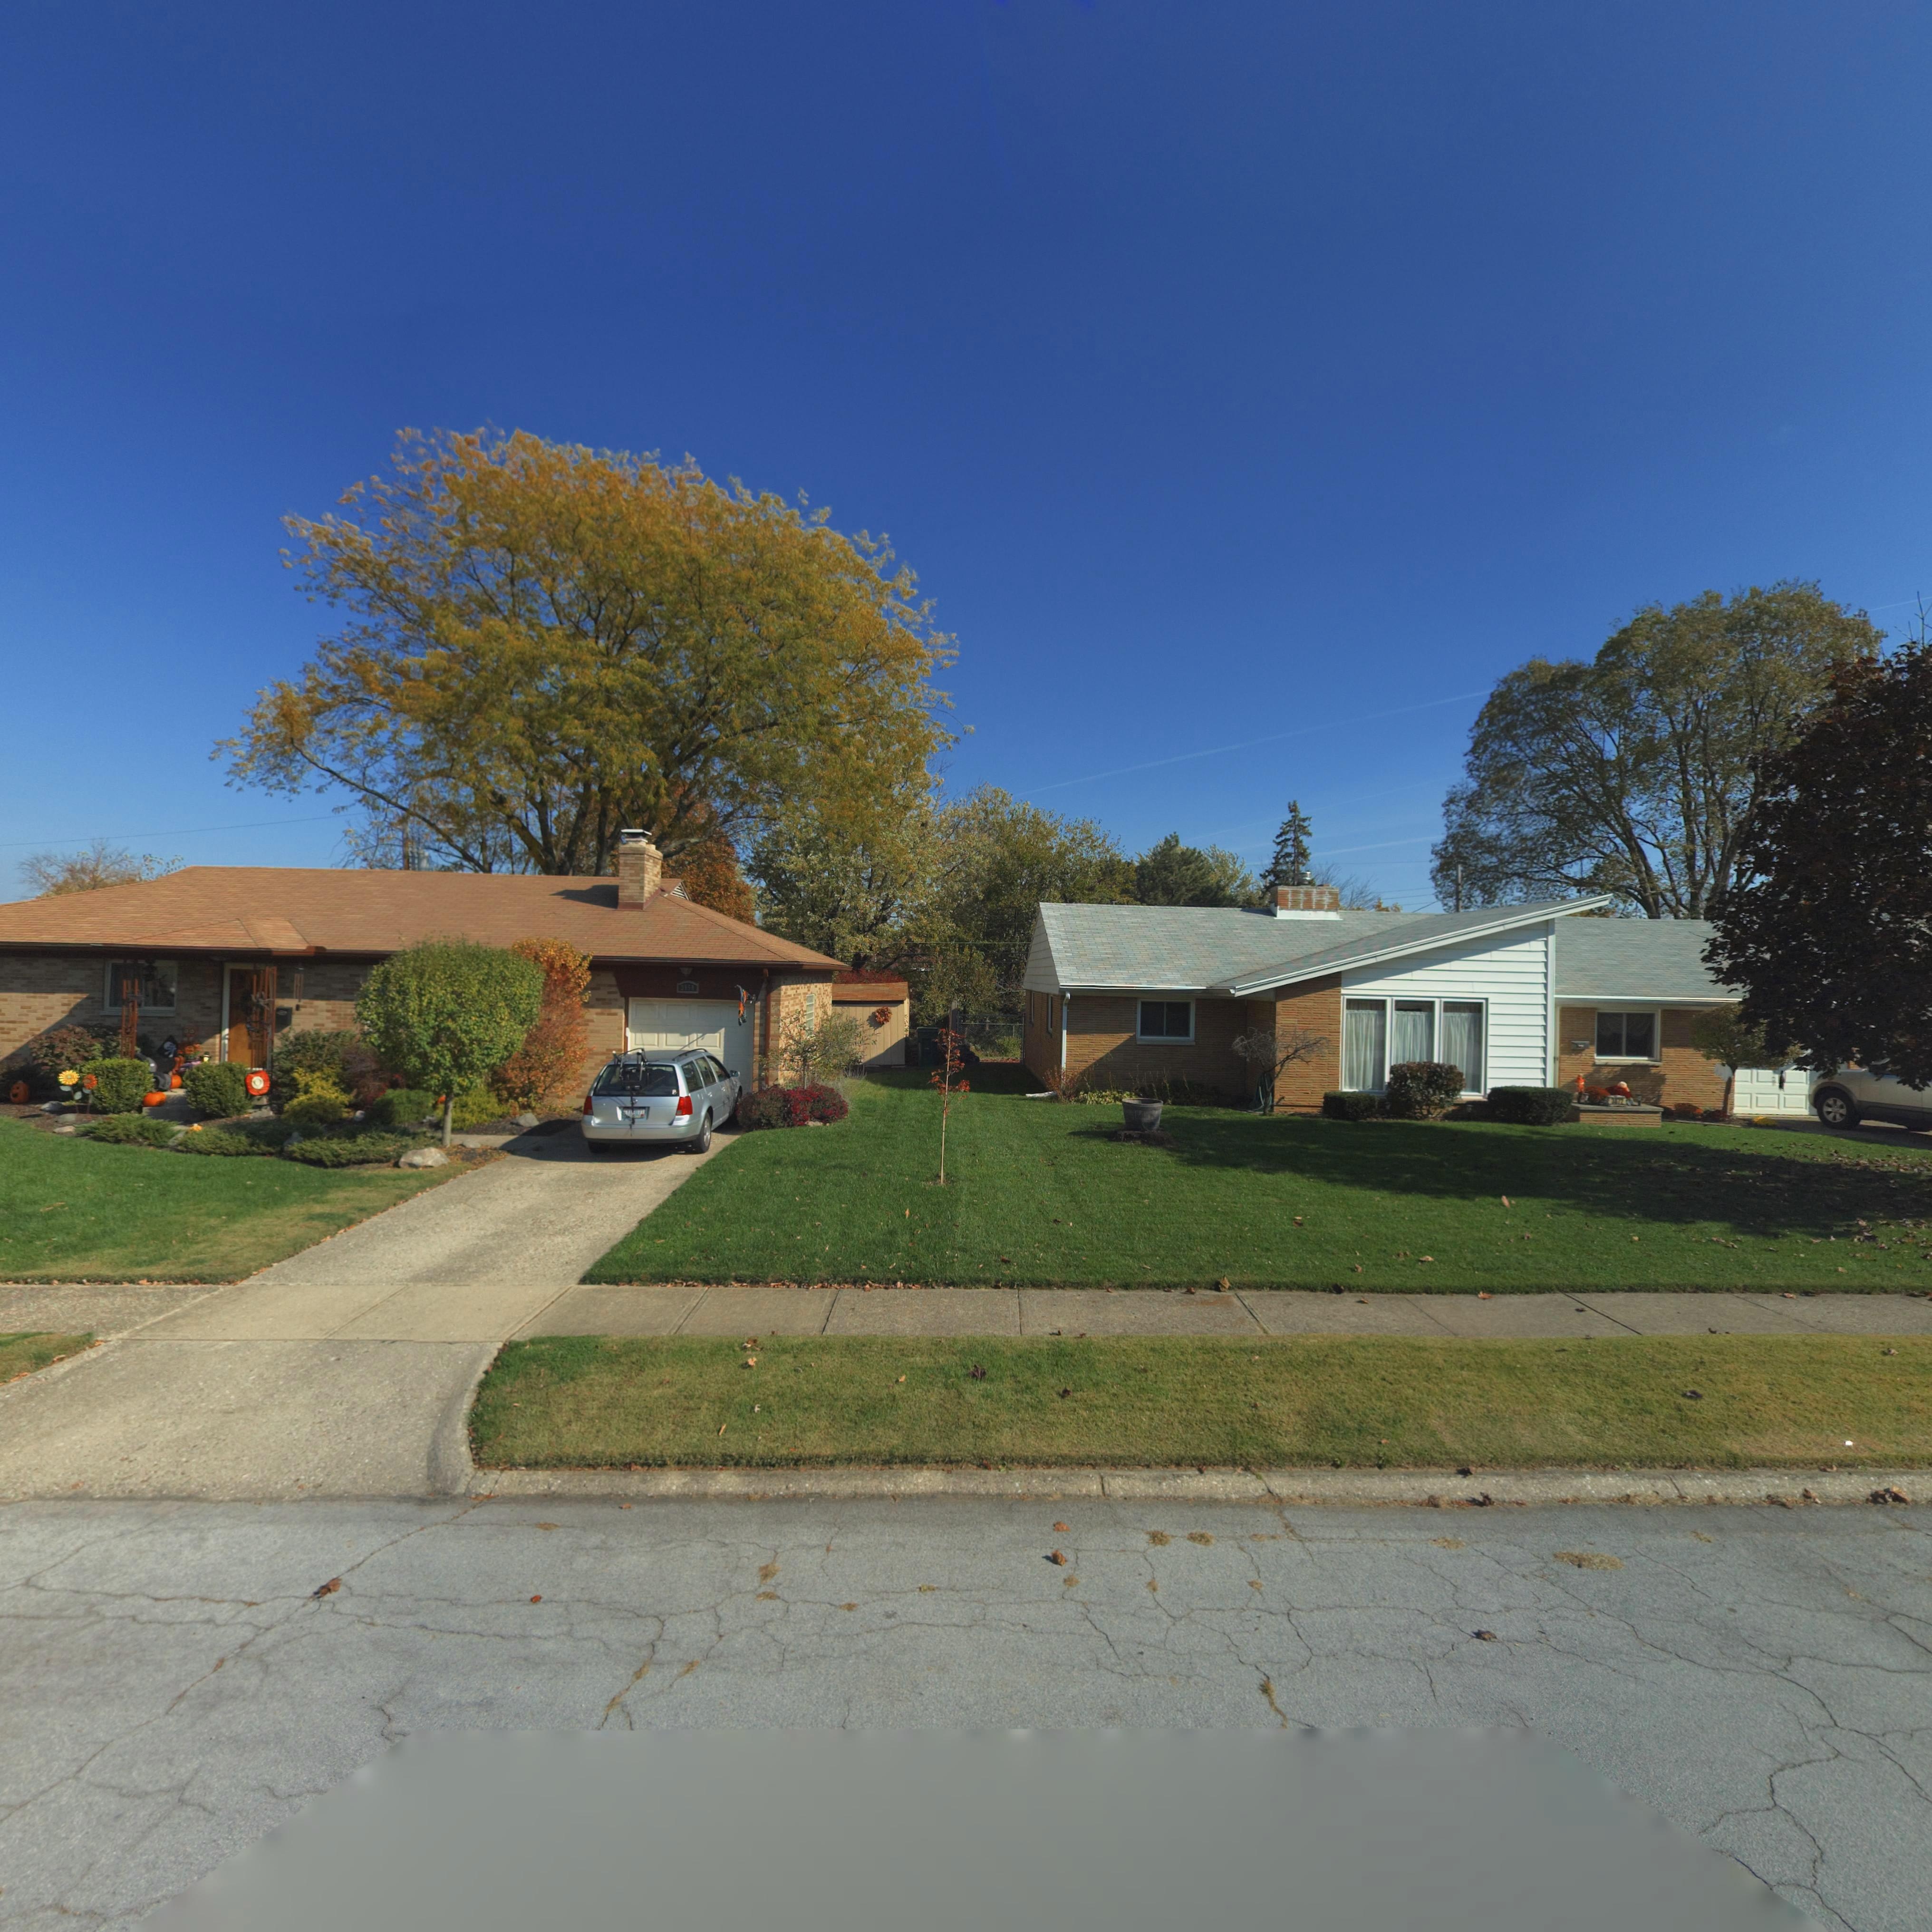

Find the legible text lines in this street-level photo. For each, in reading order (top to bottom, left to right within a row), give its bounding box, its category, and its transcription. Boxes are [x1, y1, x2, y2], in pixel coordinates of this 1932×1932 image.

[680, 984, 696, 991] StreetNumber: 3858